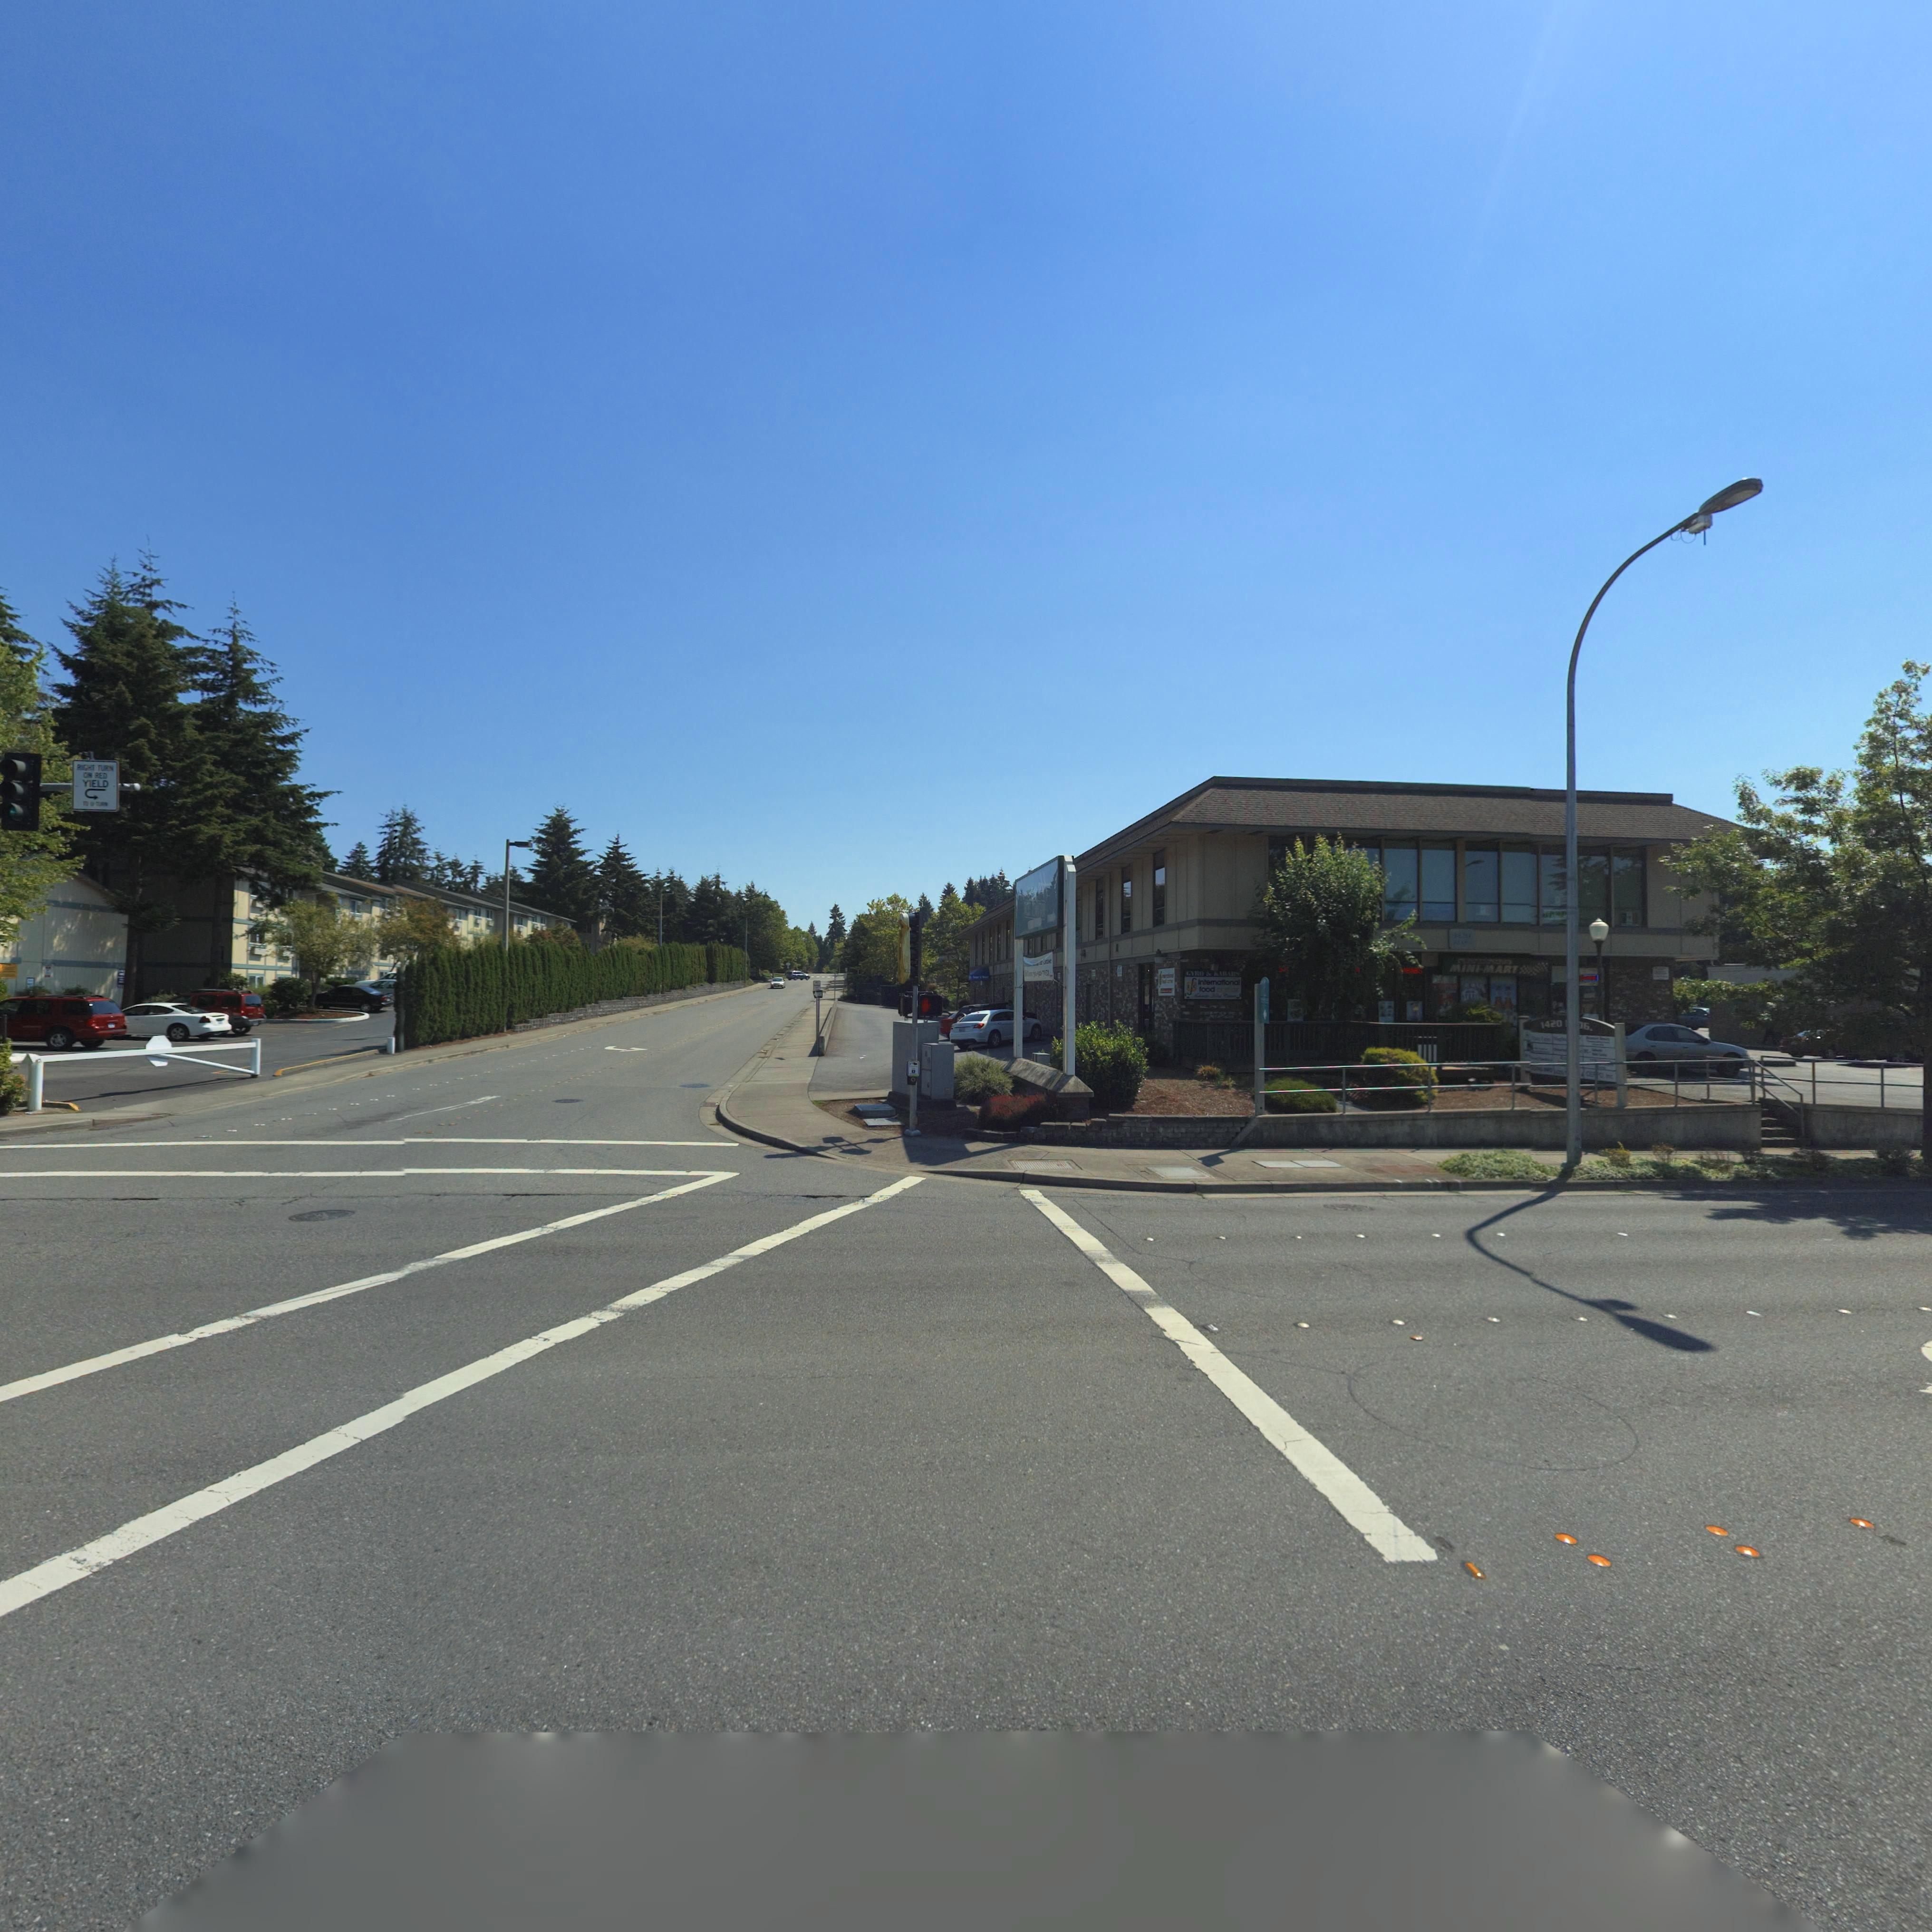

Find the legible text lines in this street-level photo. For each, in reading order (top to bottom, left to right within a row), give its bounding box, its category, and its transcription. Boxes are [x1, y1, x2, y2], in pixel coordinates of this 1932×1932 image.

[76, 763, 114, 772] TrafficSign: RIGHT TURN
[82, 771, 110, 779] TrafficSign: ON RED
[82, 779, 110, 789] TrafficSign: YIELD
[82, 800, 110, 807] TrafficSign: TO U-TURN
[1448, 963, 1520, 975] BusinessName: MINI-MART
[1198, 985, 1216, 994] BusinessName: food
[1540, 1019, 1563, 1029] StreetNumber: 1420